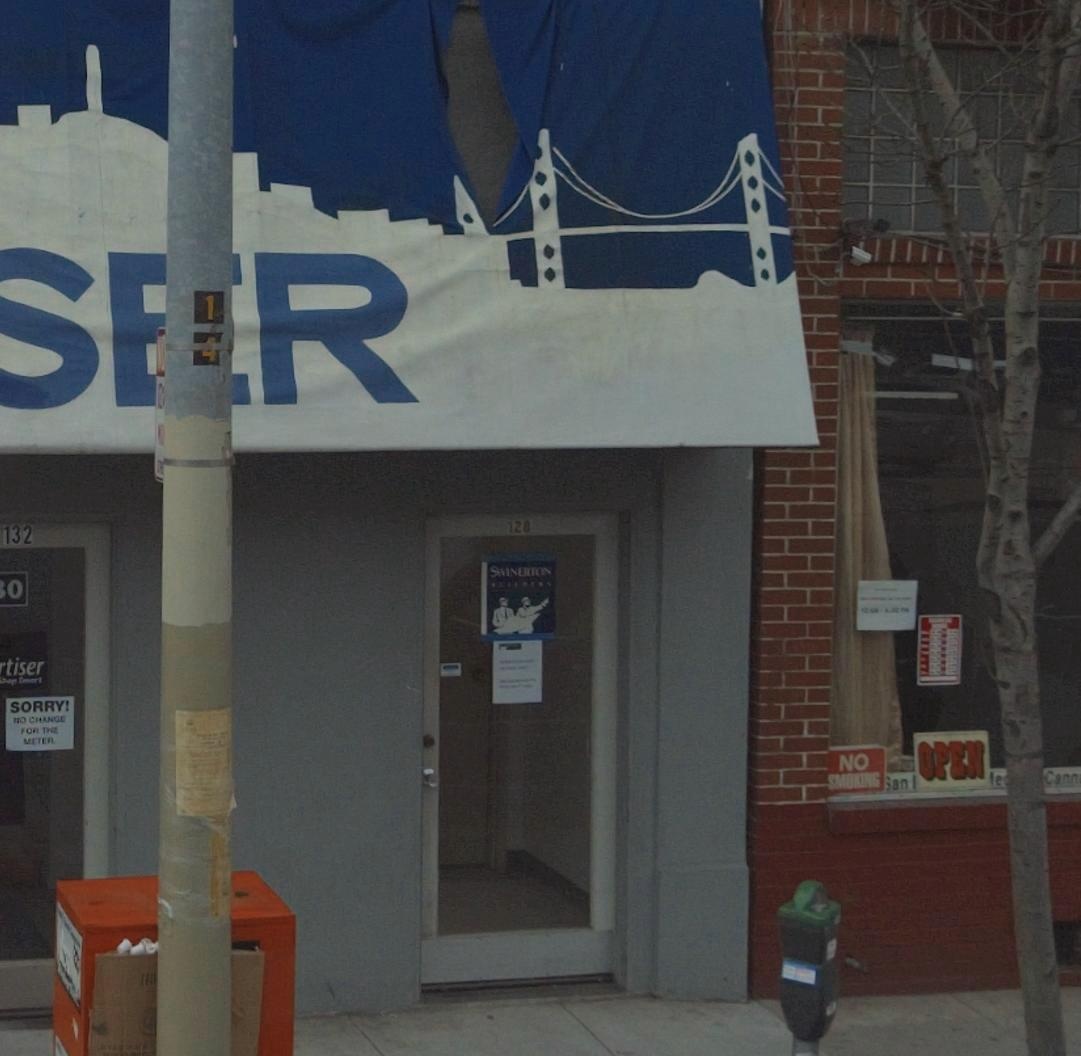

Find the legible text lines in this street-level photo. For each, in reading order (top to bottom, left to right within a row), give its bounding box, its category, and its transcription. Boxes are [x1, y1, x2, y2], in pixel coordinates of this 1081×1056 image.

[200, 293, 219, 364] None: 1*
[251, 248, 423, 409] BusinessName: R
[2, 523, 34, 546] StreetNumber: 132
[506, 518, 532, 535] StreetNumber: 128
[5, 573, 25, 602] None: 0
[1, 653, 49, 680] BusinessName: tiser
[18, 724, 61, 737] None: FOR THIS
[8, 697, 72, 716] None: SORRY!
[10, 711, 70, 727] None: NO CHANGE
[836, 749, 874, 775] None: NO
[914, 734, 990, 785] None: OPEN
[824, 768, 884, 794] None: SMOKING
[889, 775, 910, 793] None: an